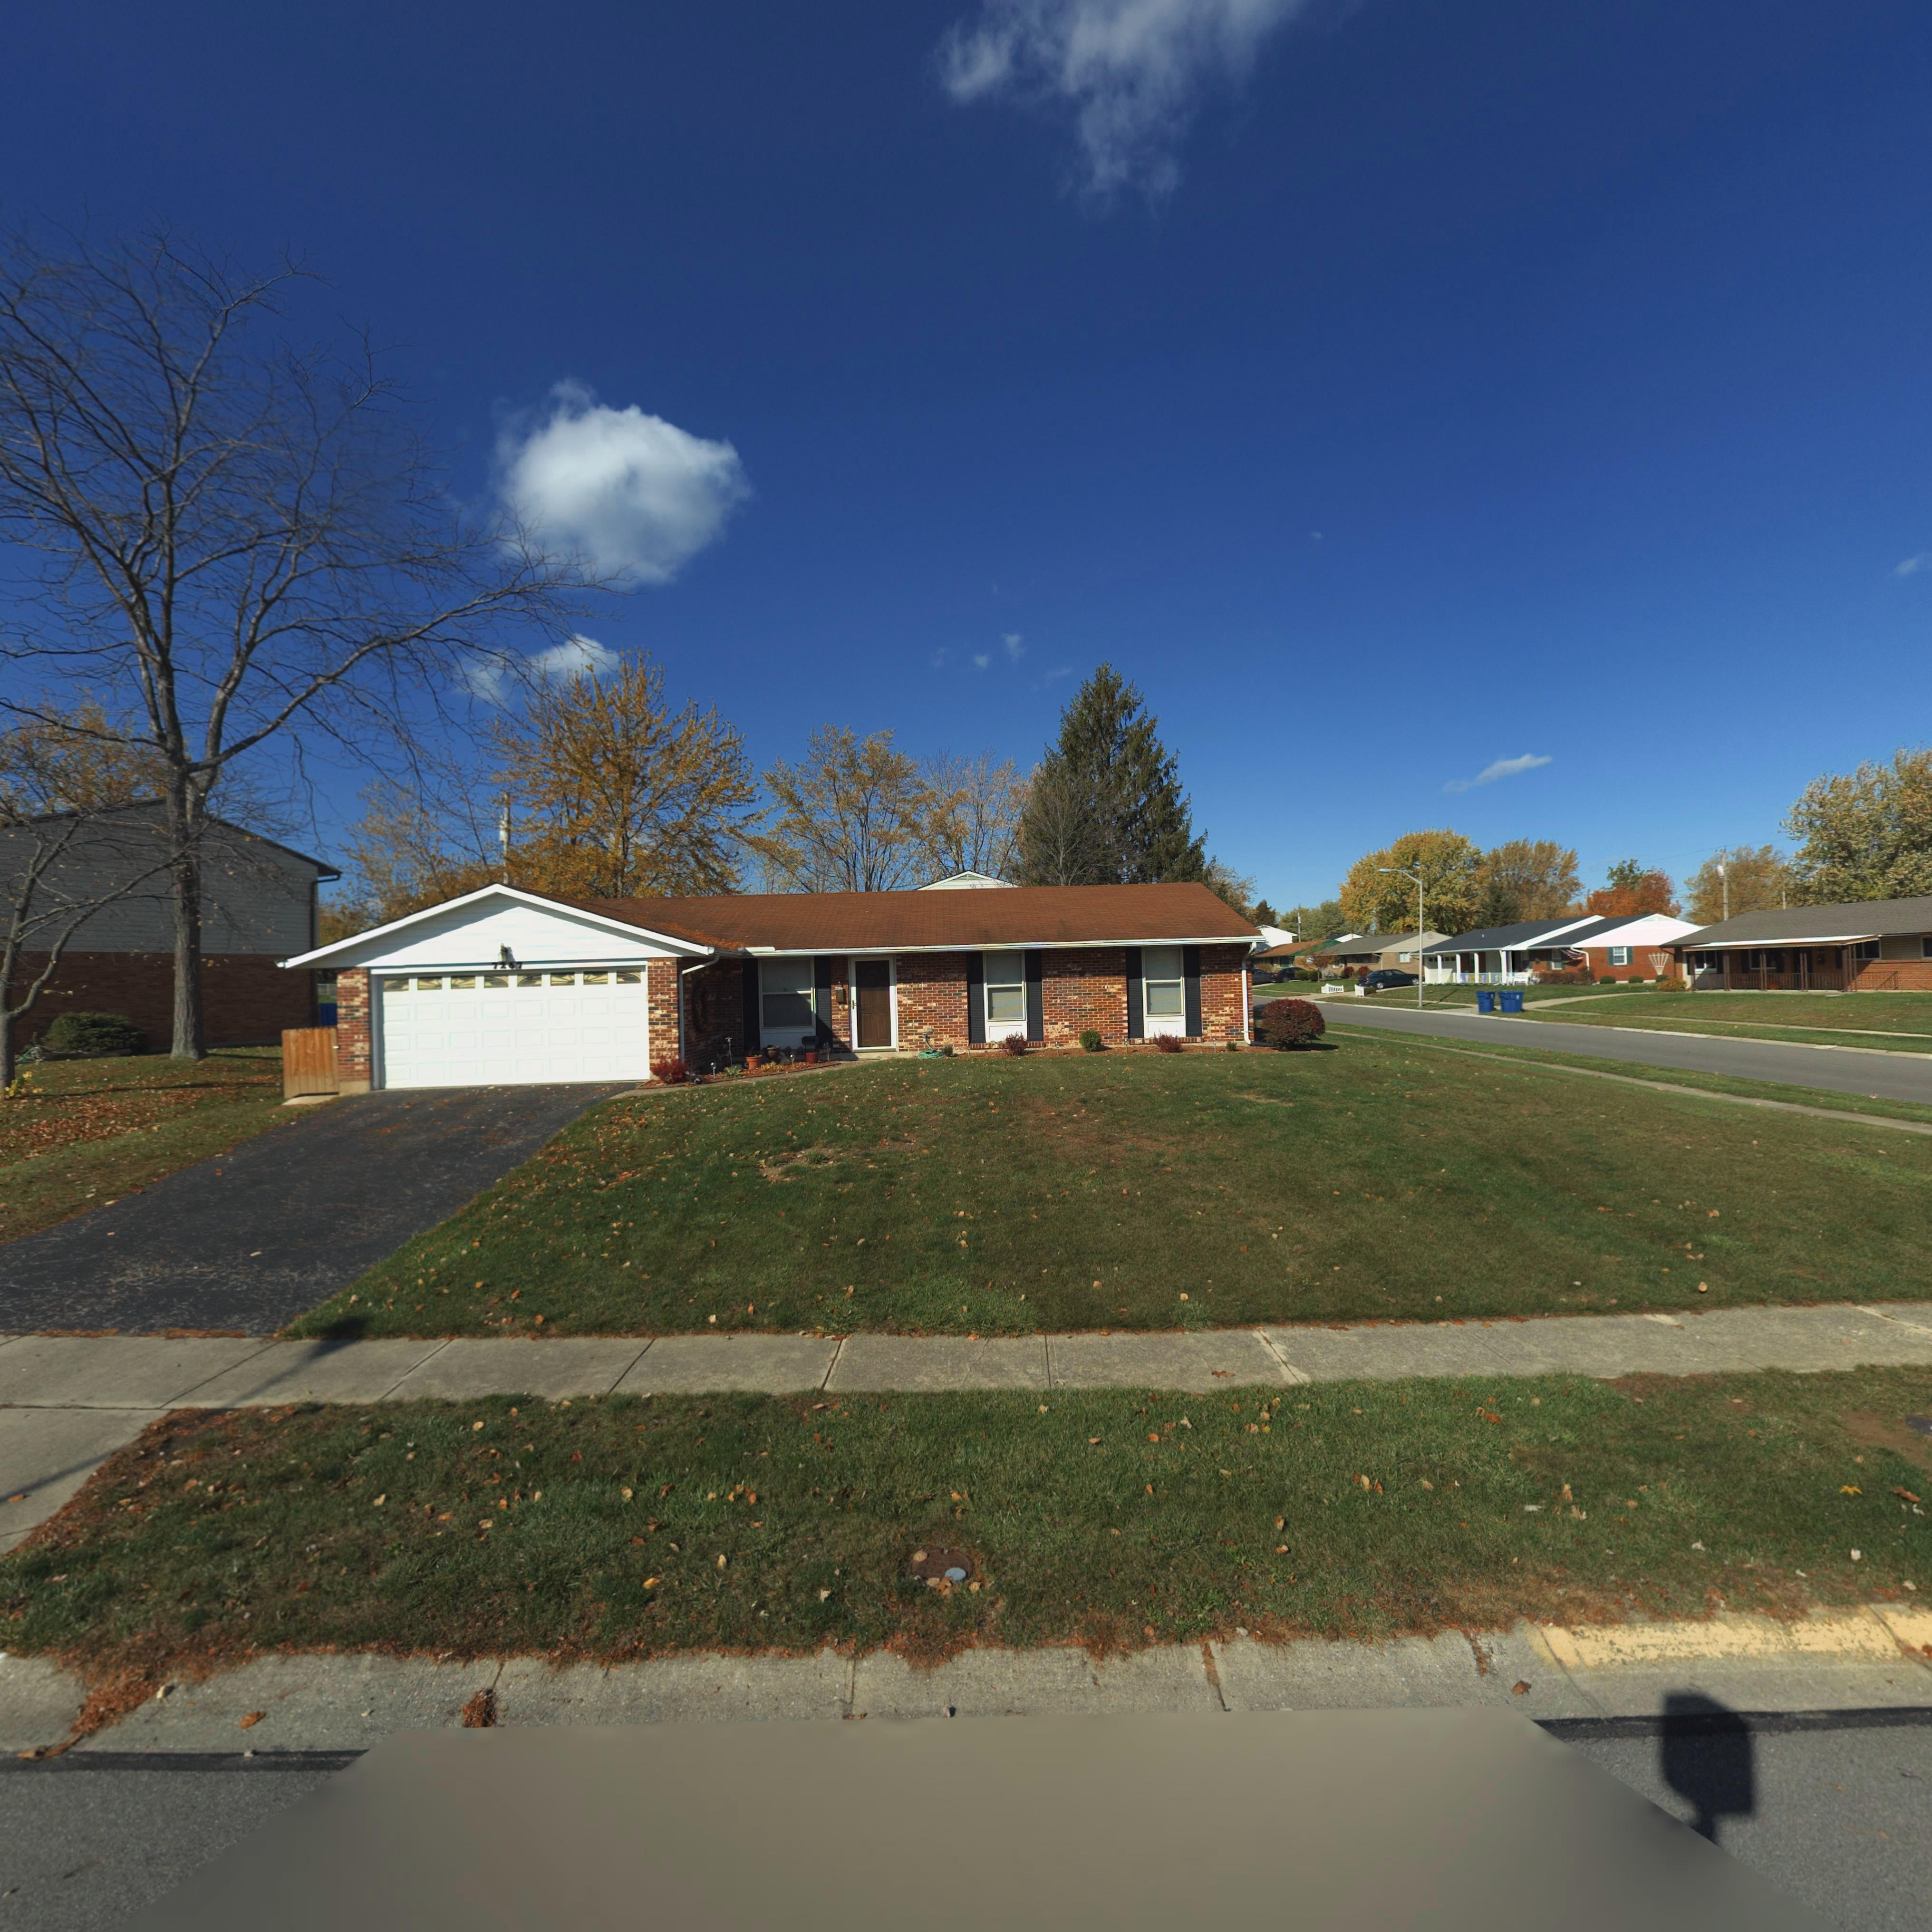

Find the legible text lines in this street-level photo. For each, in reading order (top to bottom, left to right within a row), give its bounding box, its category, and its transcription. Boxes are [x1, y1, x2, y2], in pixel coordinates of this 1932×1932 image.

[491, 961, 524, 971] StreetNumber: 7267